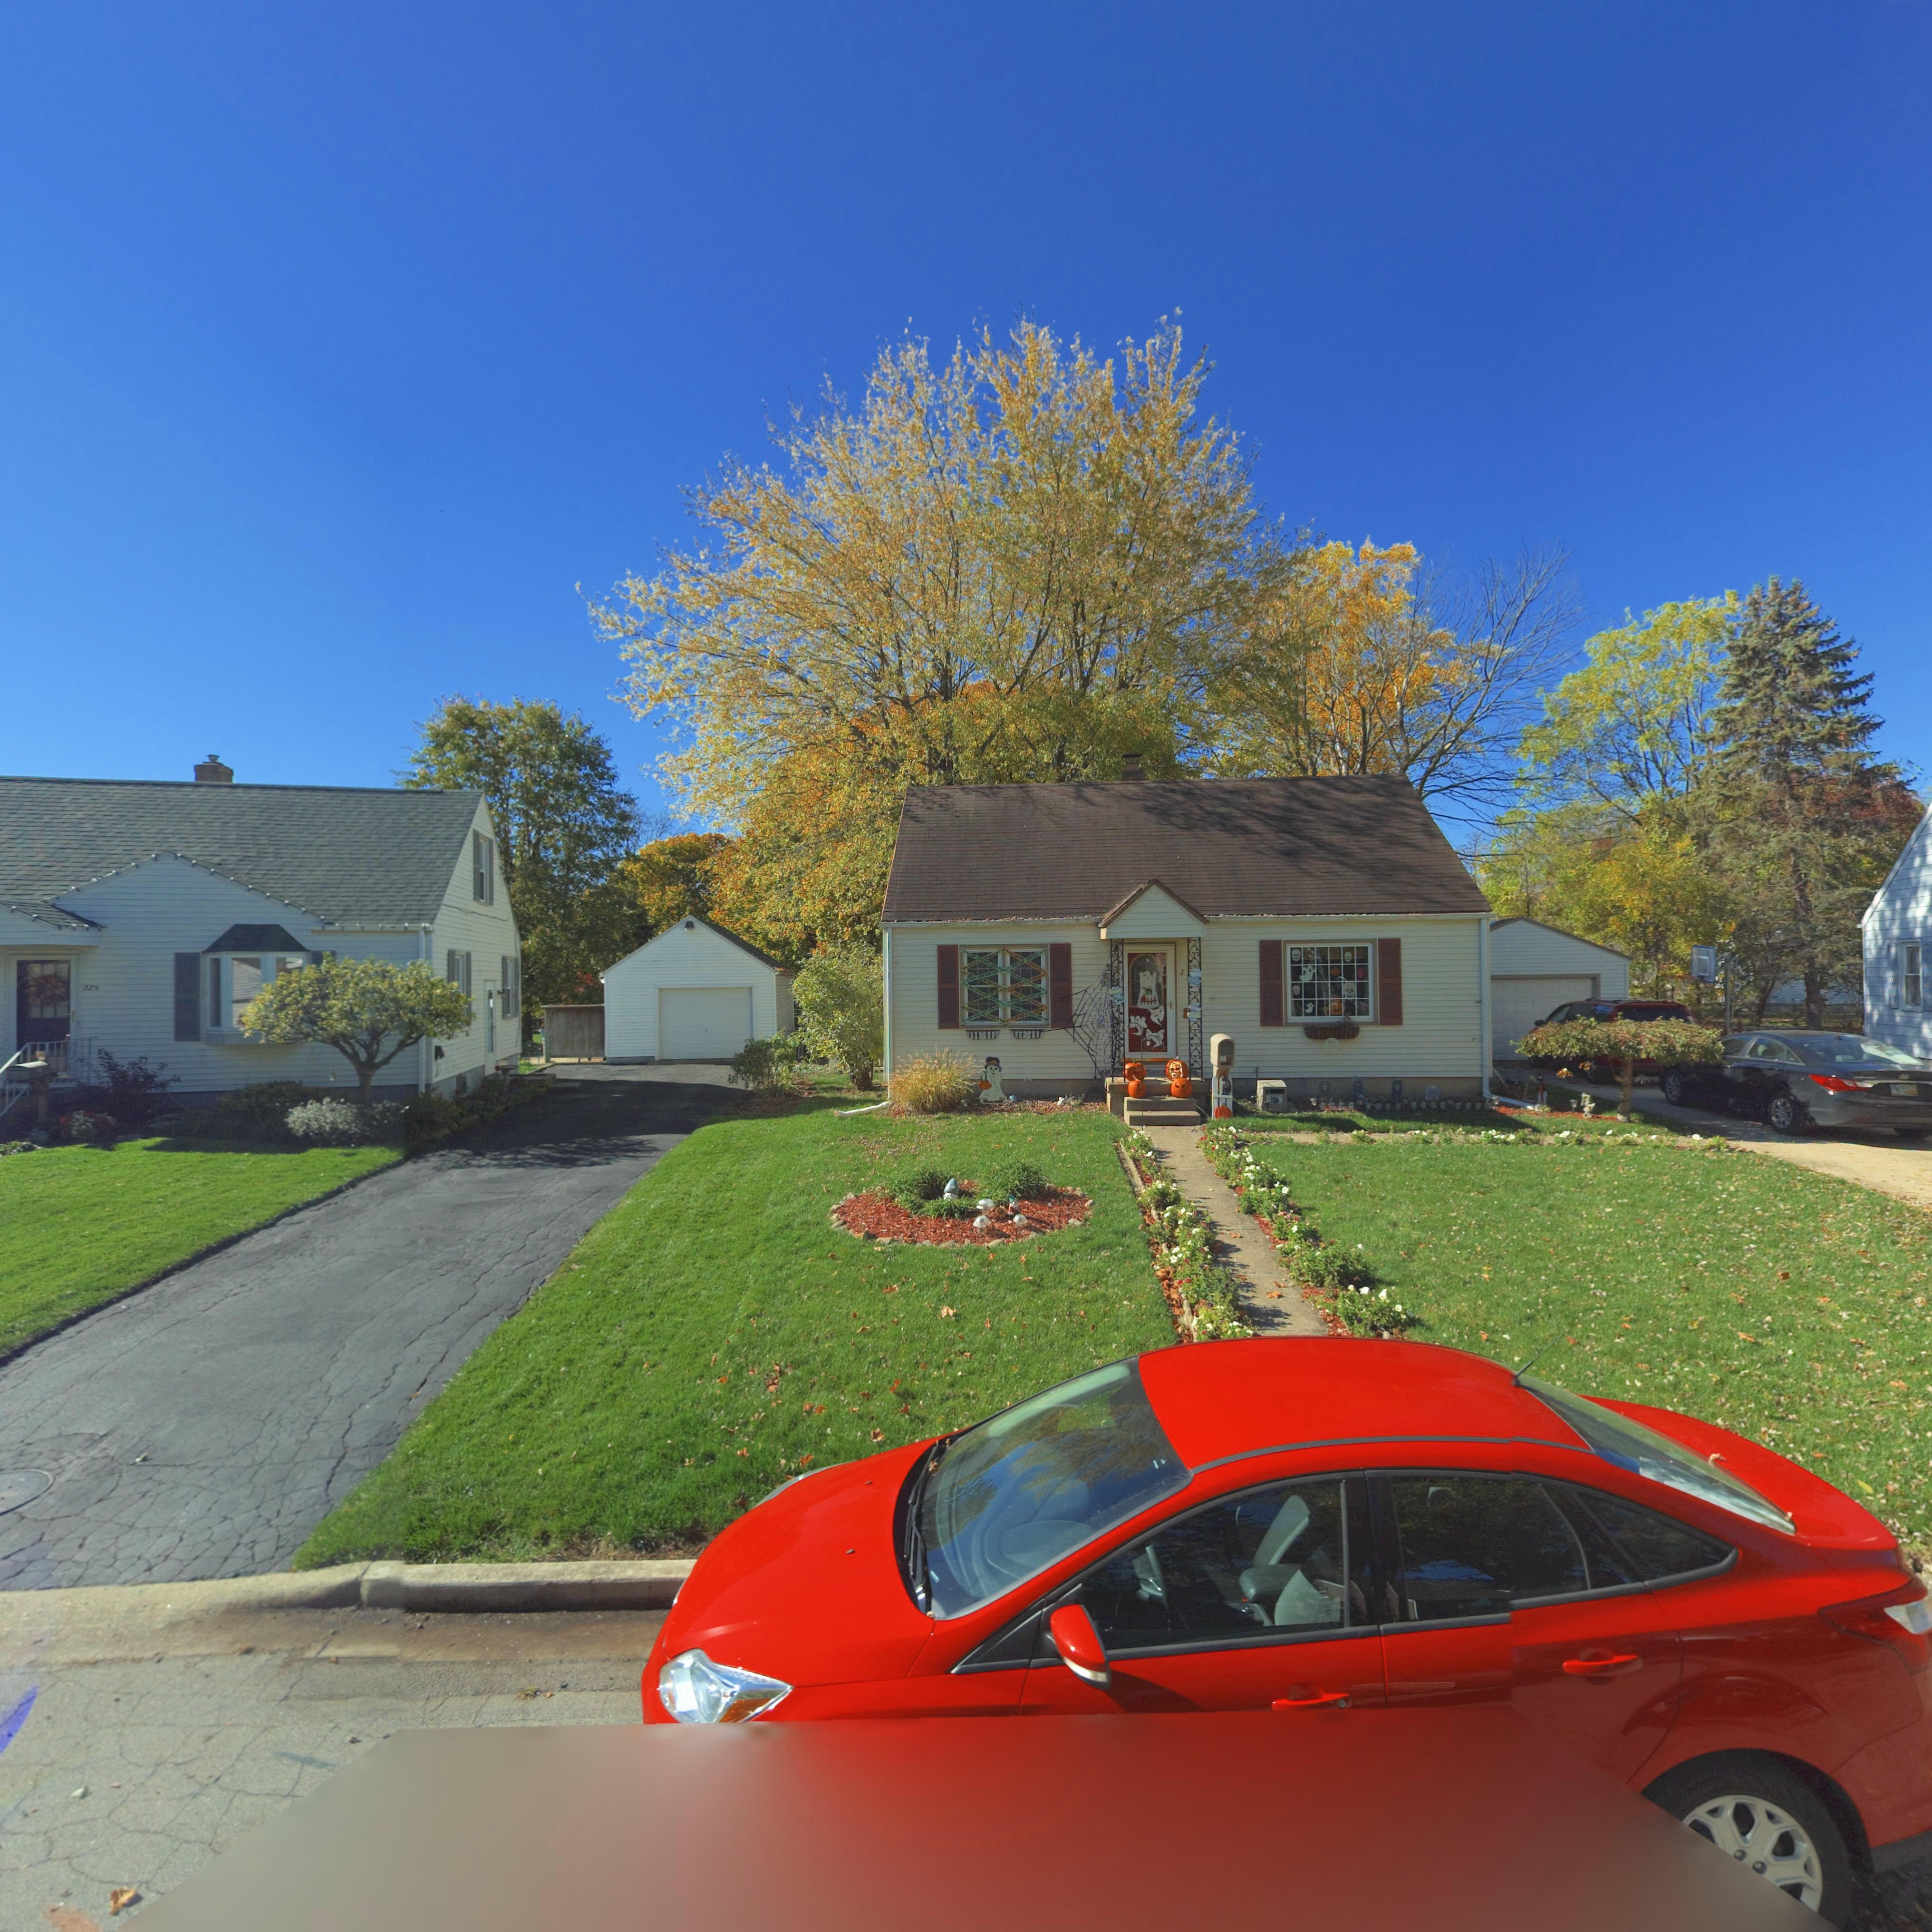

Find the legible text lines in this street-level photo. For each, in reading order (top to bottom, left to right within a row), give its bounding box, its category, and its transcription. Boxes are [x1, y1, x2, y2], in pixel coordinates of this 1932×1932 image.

[1179, 968, 1185, 976] StreetNumber: 2
[81, 984, 100, 992] StreetNumber: *2*